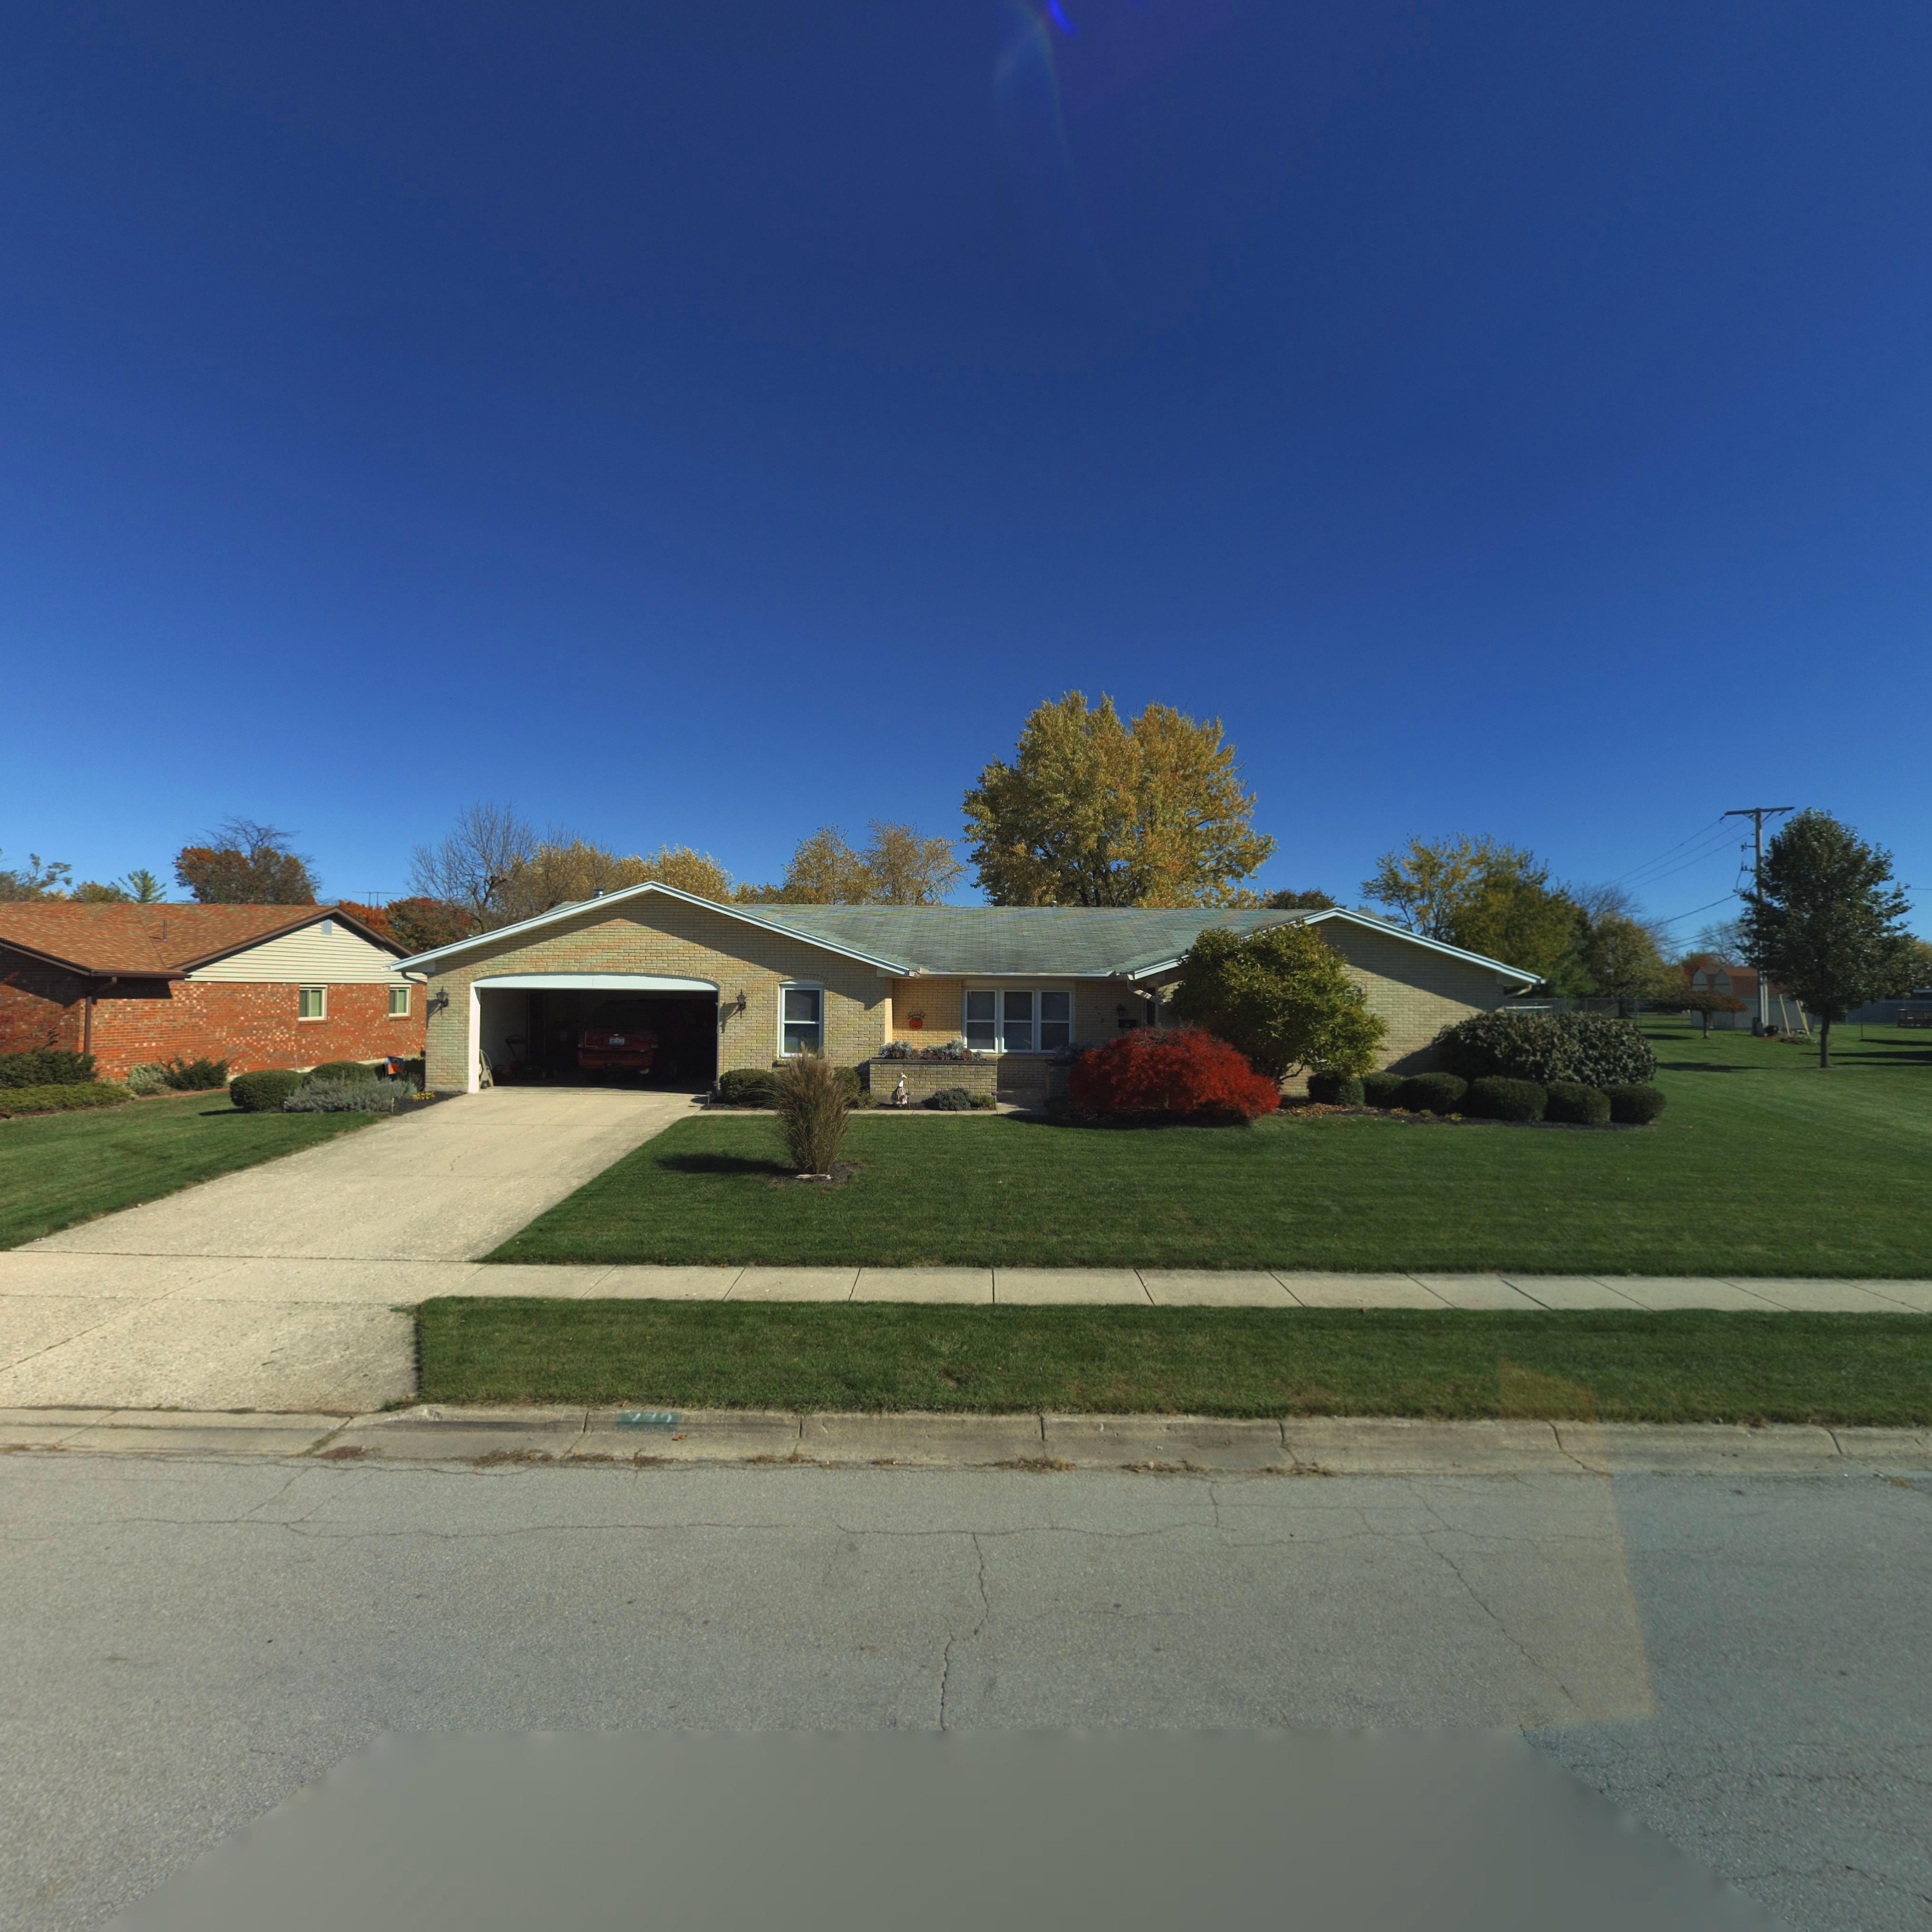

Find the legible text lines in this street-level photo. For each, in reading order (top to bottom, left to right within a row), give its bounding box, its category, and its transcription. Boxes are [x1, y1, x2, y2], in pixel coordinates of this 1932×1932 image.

[1092, 1006, 1105, 1024] StreetNumber: 77*